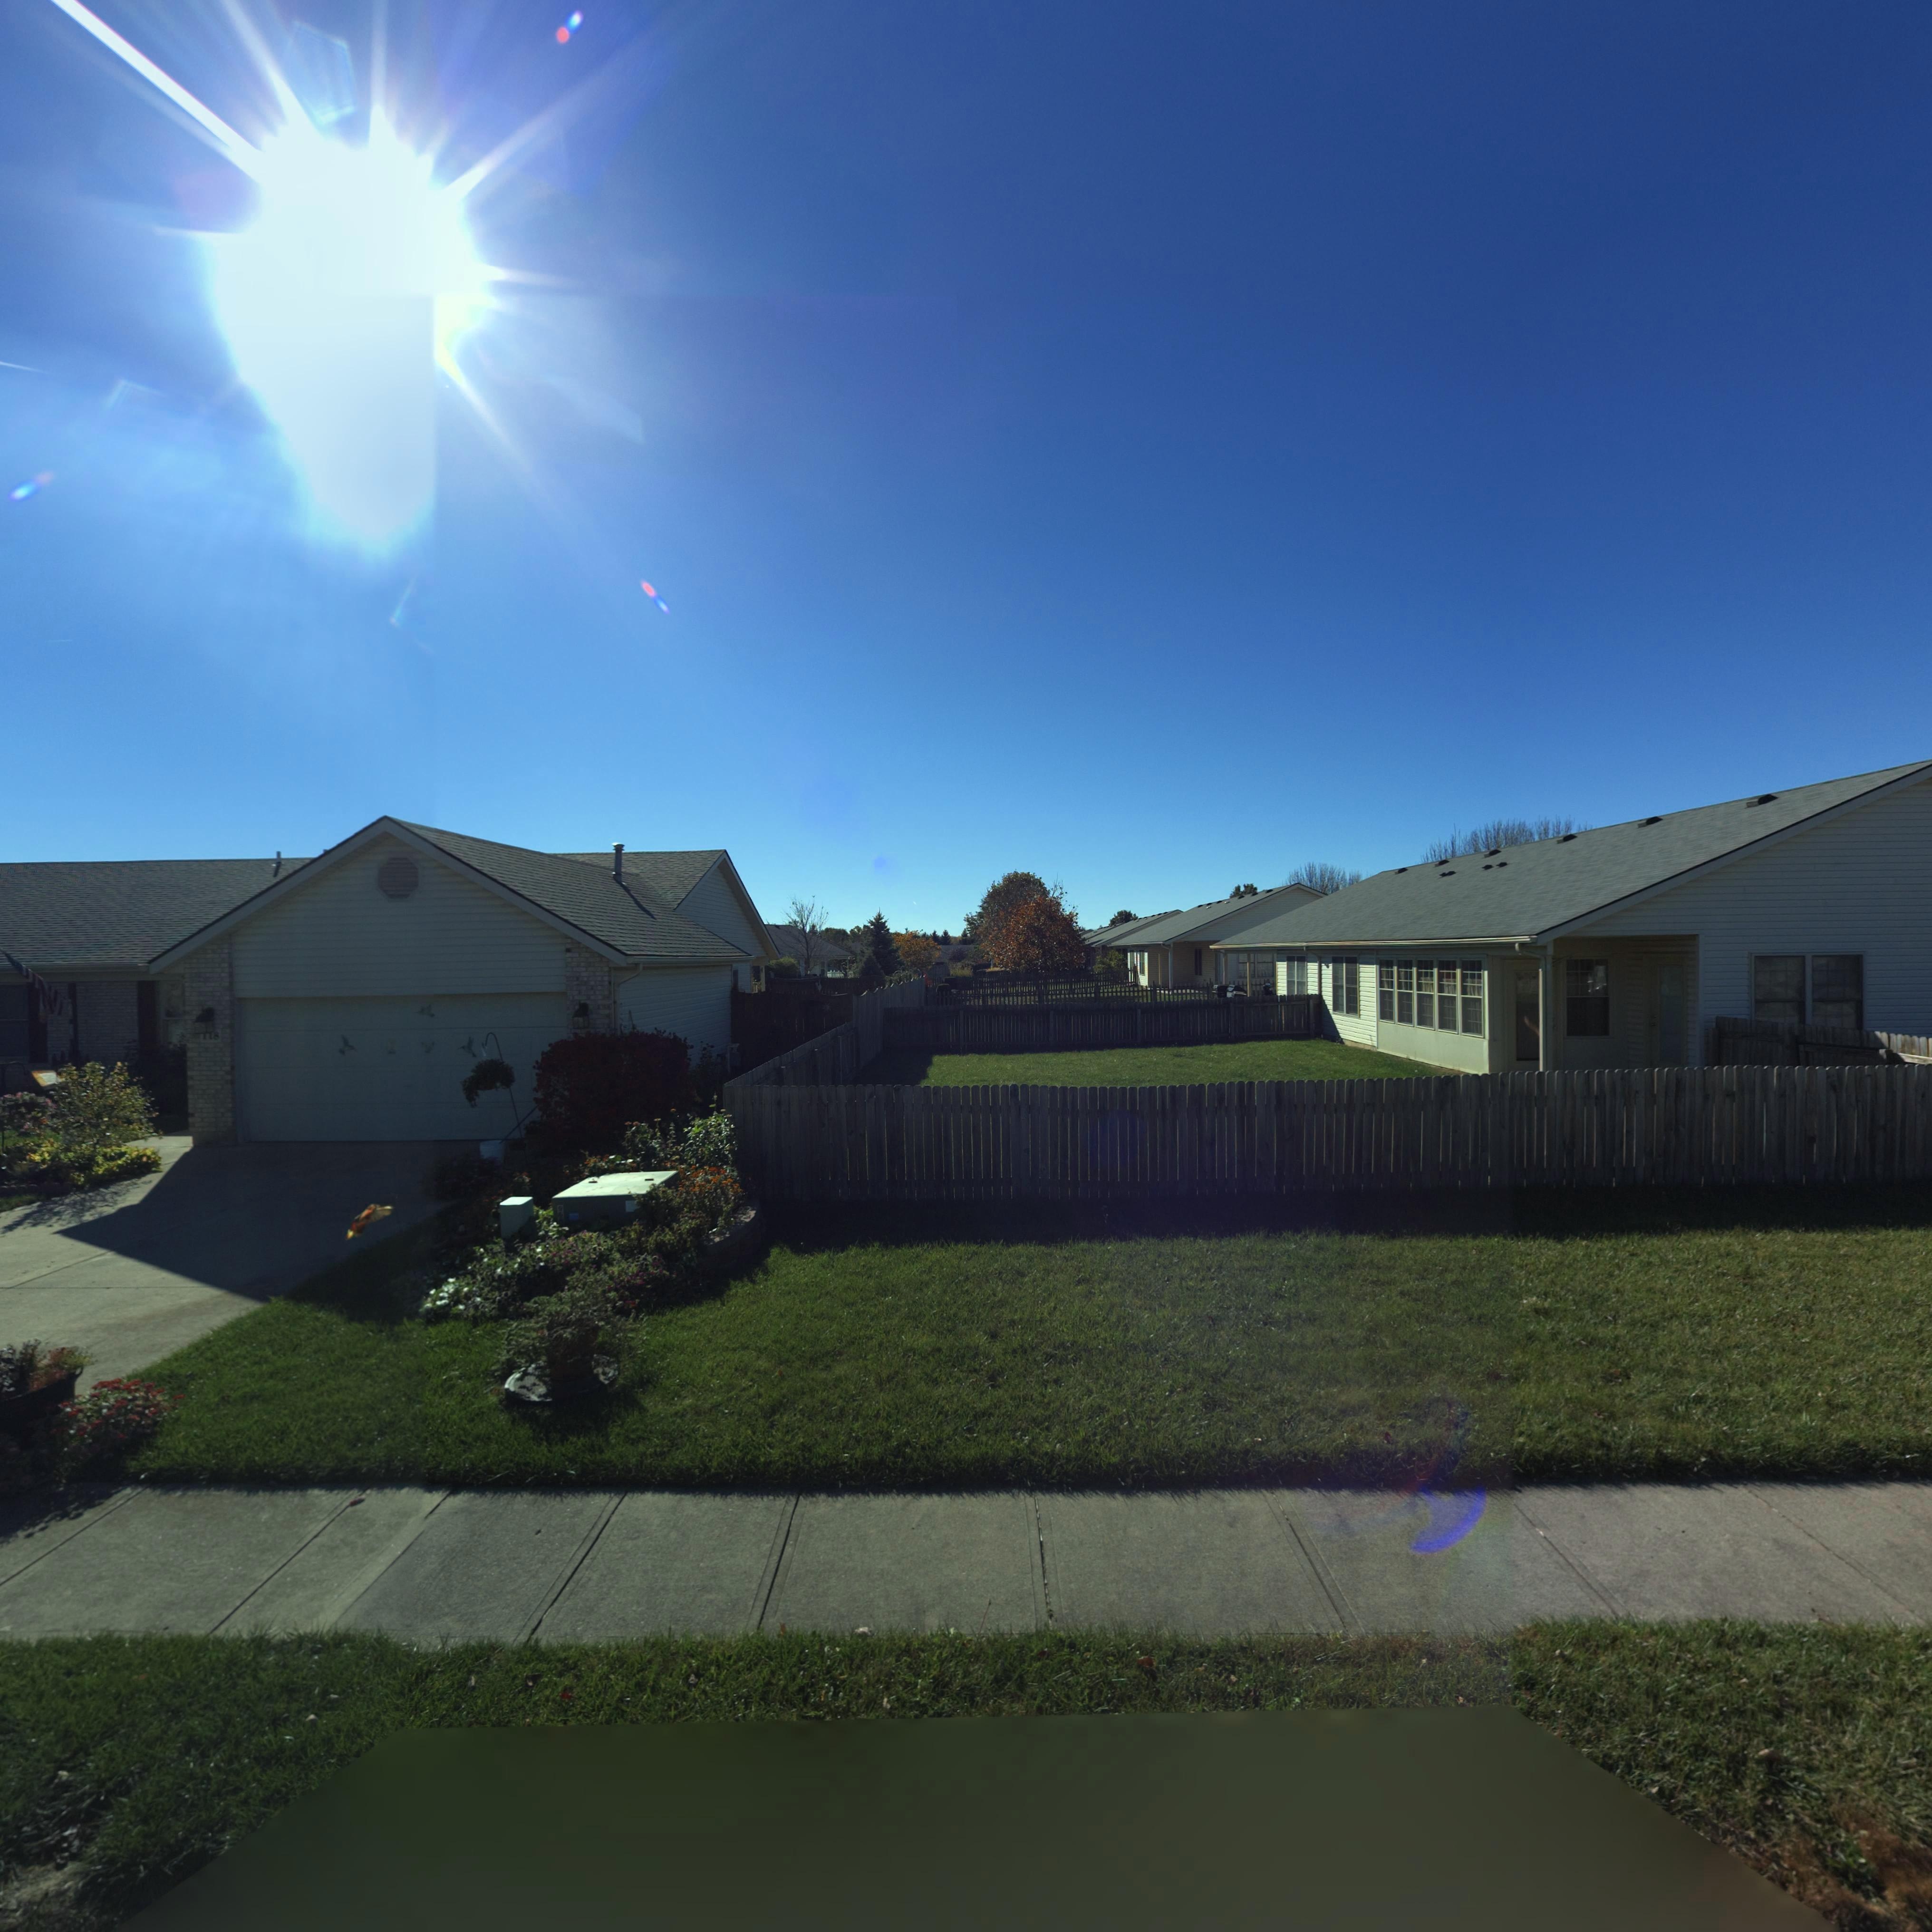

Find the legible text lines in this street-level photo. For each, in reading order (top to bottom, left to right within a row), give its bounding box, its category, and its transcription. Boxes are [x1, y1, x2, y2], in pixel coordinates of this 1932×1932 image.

[202, 1031, 220, 1040] StreetNumber: 118